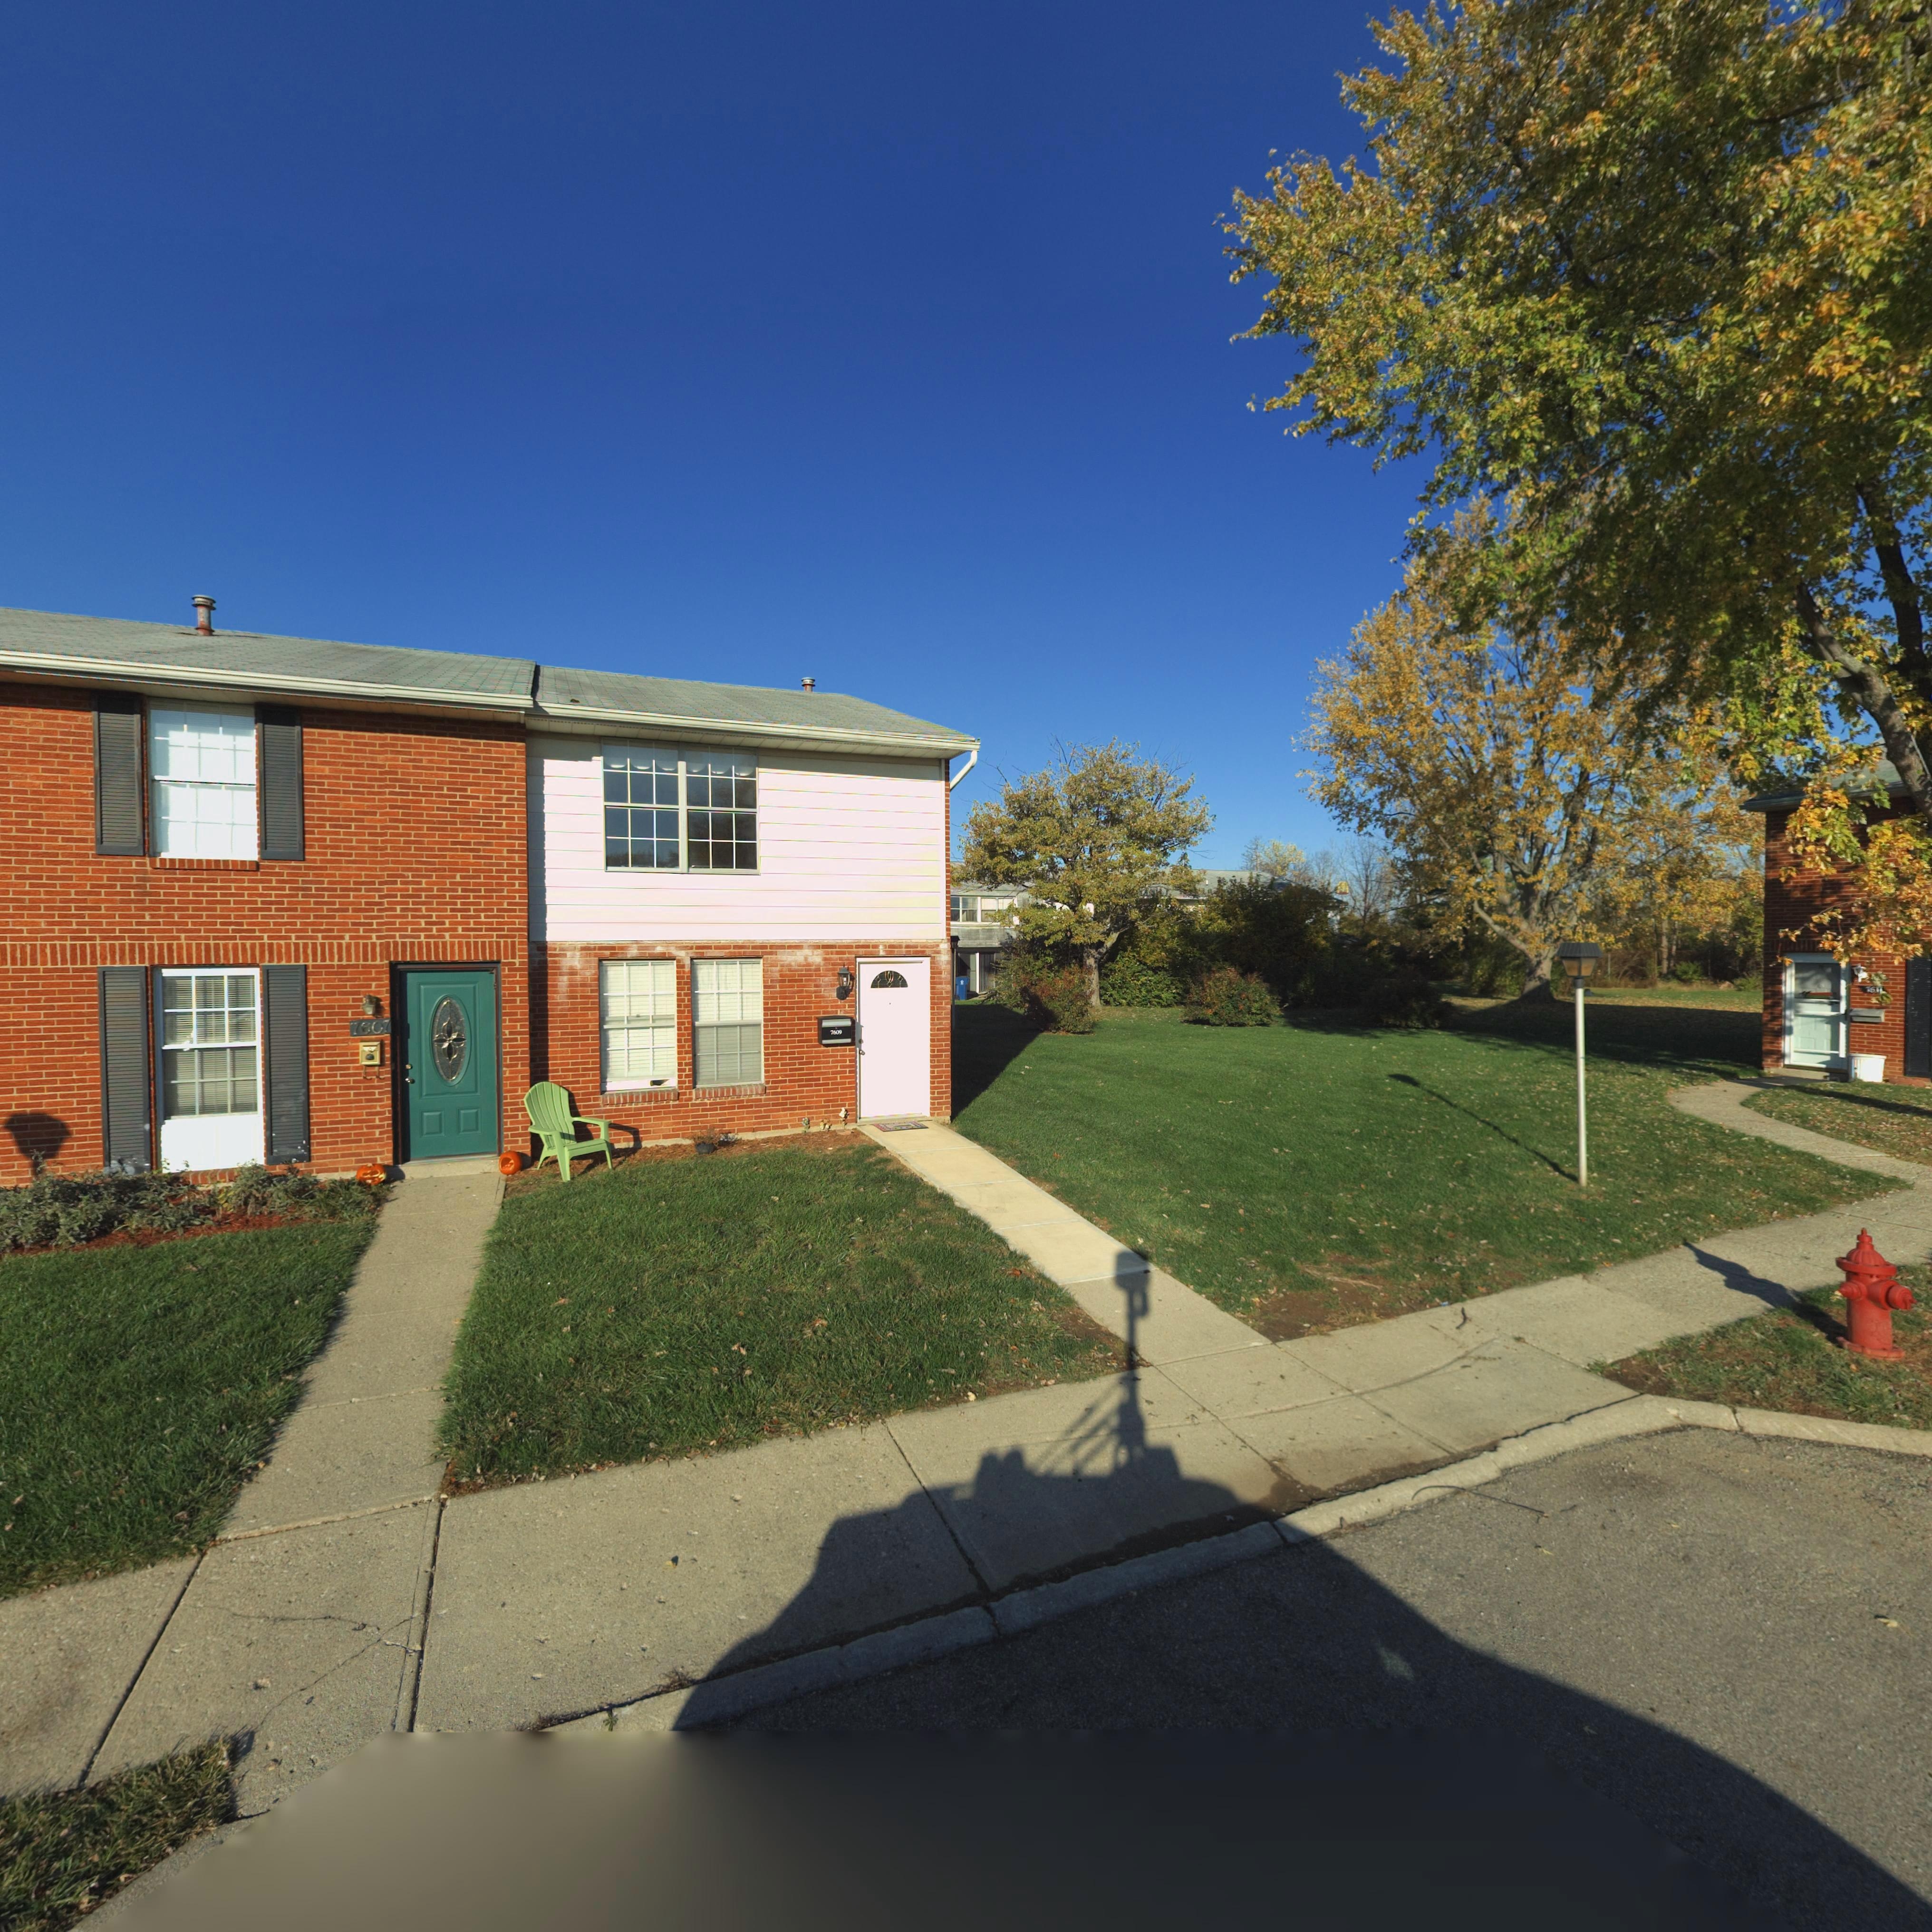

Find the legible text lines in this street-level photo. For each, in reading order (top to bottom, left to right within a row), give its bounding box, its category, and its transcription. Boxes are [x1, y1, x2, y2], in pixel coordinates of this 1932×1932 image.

[1864, 986, 1876, 994] StreetNumber: 76
[349, 1019, 391, 1035] StreetNumber: 7607
[830, 1029, 842, 1035] StreetNumber: 7609